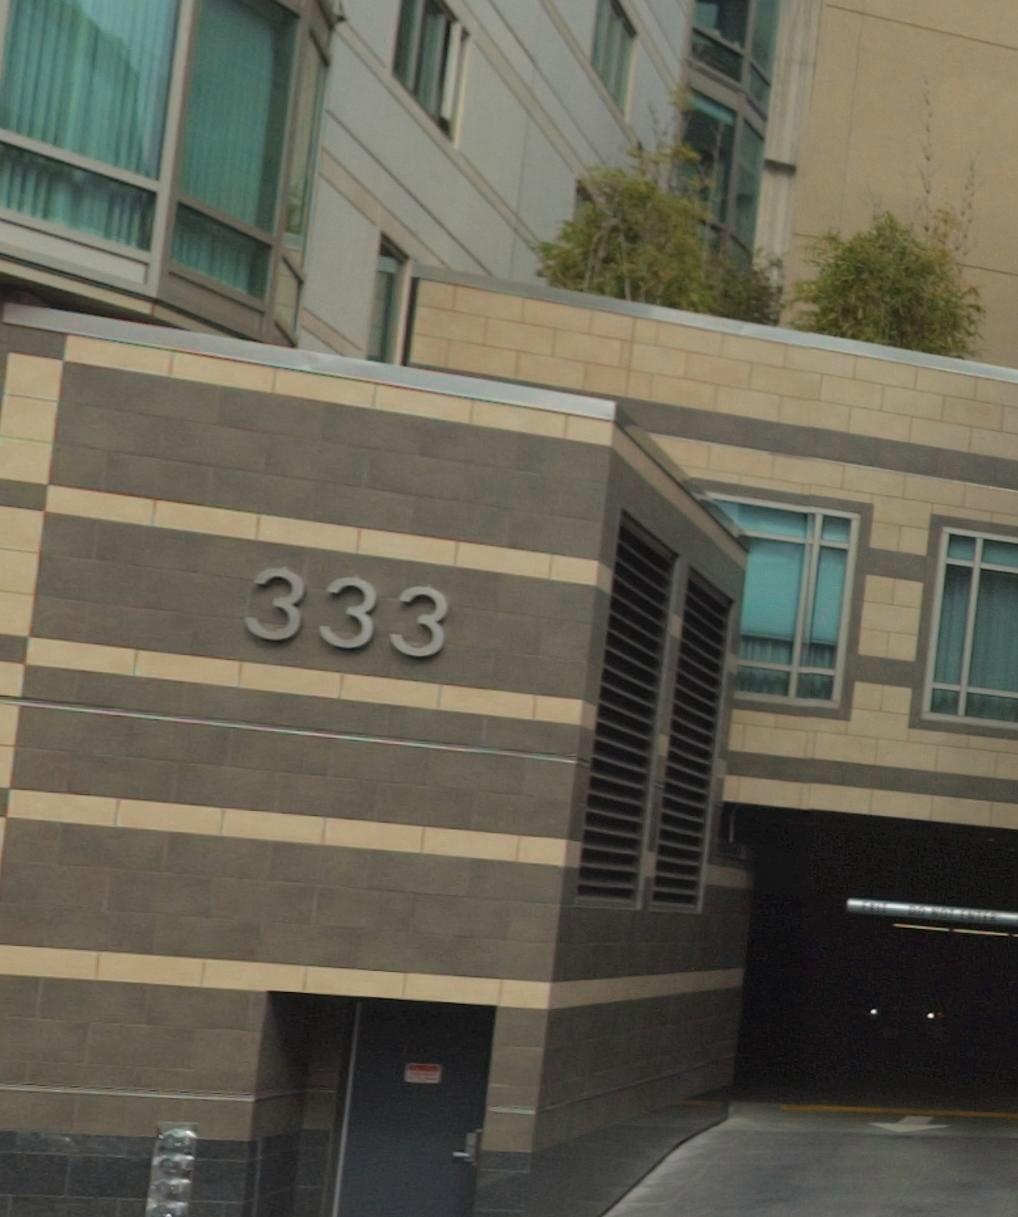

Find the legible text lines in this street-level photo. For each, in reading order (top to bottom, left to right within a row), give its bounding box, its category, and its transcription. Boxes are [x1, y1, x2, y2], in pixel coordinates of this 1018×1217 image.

[237, 563, 453, 663] StreetNumber: 333